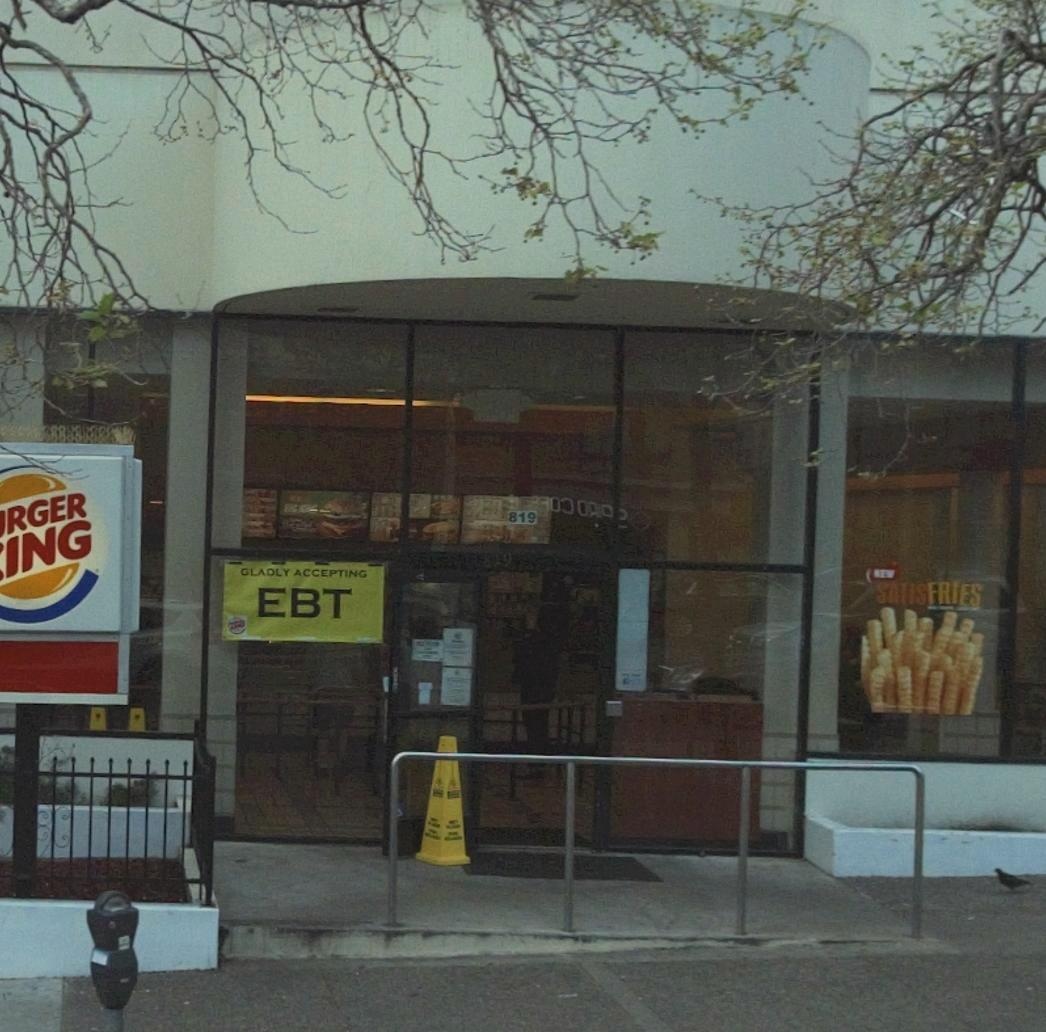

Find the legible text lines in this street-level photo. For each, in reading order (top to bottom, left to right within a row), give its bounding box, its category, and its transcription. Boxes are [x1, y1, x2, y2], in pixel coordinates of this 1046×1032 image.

[4, 487, 91, 540] BusinessName: RGER
[507, 510, 538, 525] StreetNumber: 819
[548, 492, 592, 521] None: O*O
[3, 516, 95, 583] BusinessName: ING
[237, 565, 370, 580] None: GLADLY ACCEPTING
[253, 583, 358, 622] None: EBY
[873, 576, 985, 610] None: SATISFRIES